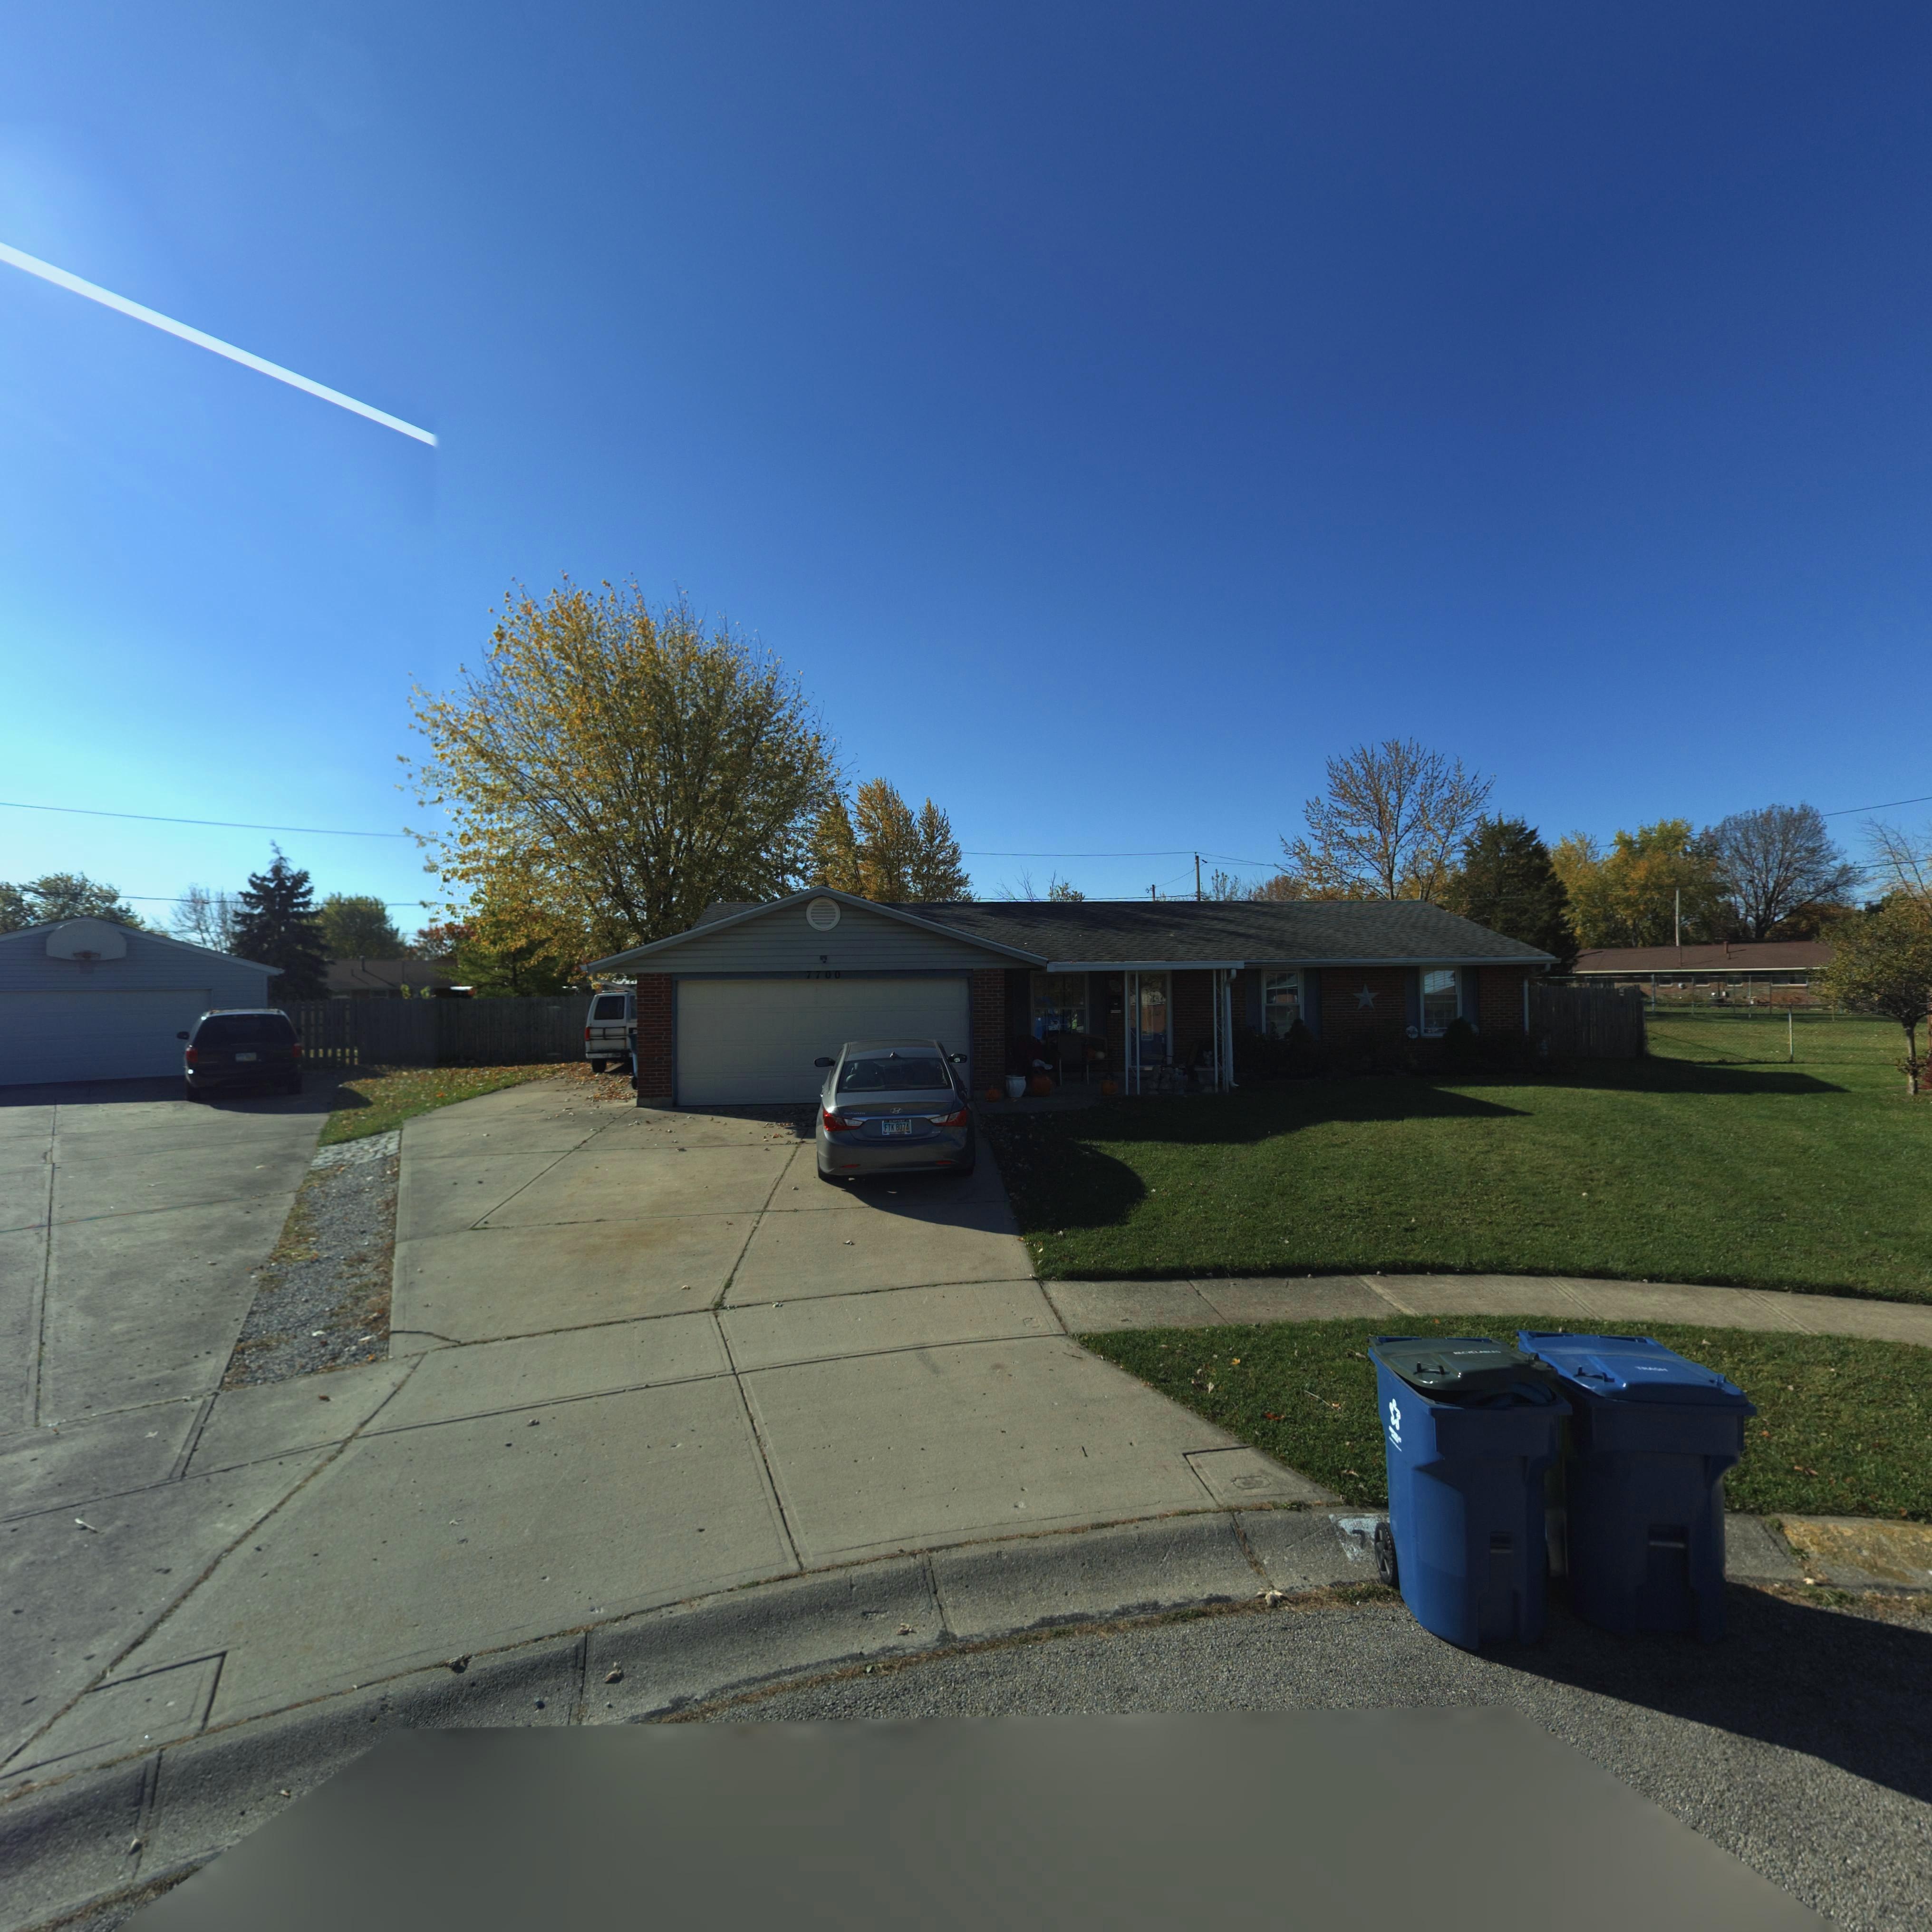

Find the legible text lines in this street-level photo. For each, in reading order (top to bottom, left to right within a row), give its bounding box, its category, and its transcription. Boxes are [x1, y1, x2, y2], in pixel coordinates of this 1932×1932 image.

[805, 969, 841, 981] StreetNumber: 7700
[1350, 1528, 1367, 1551] StreetNumber: 7